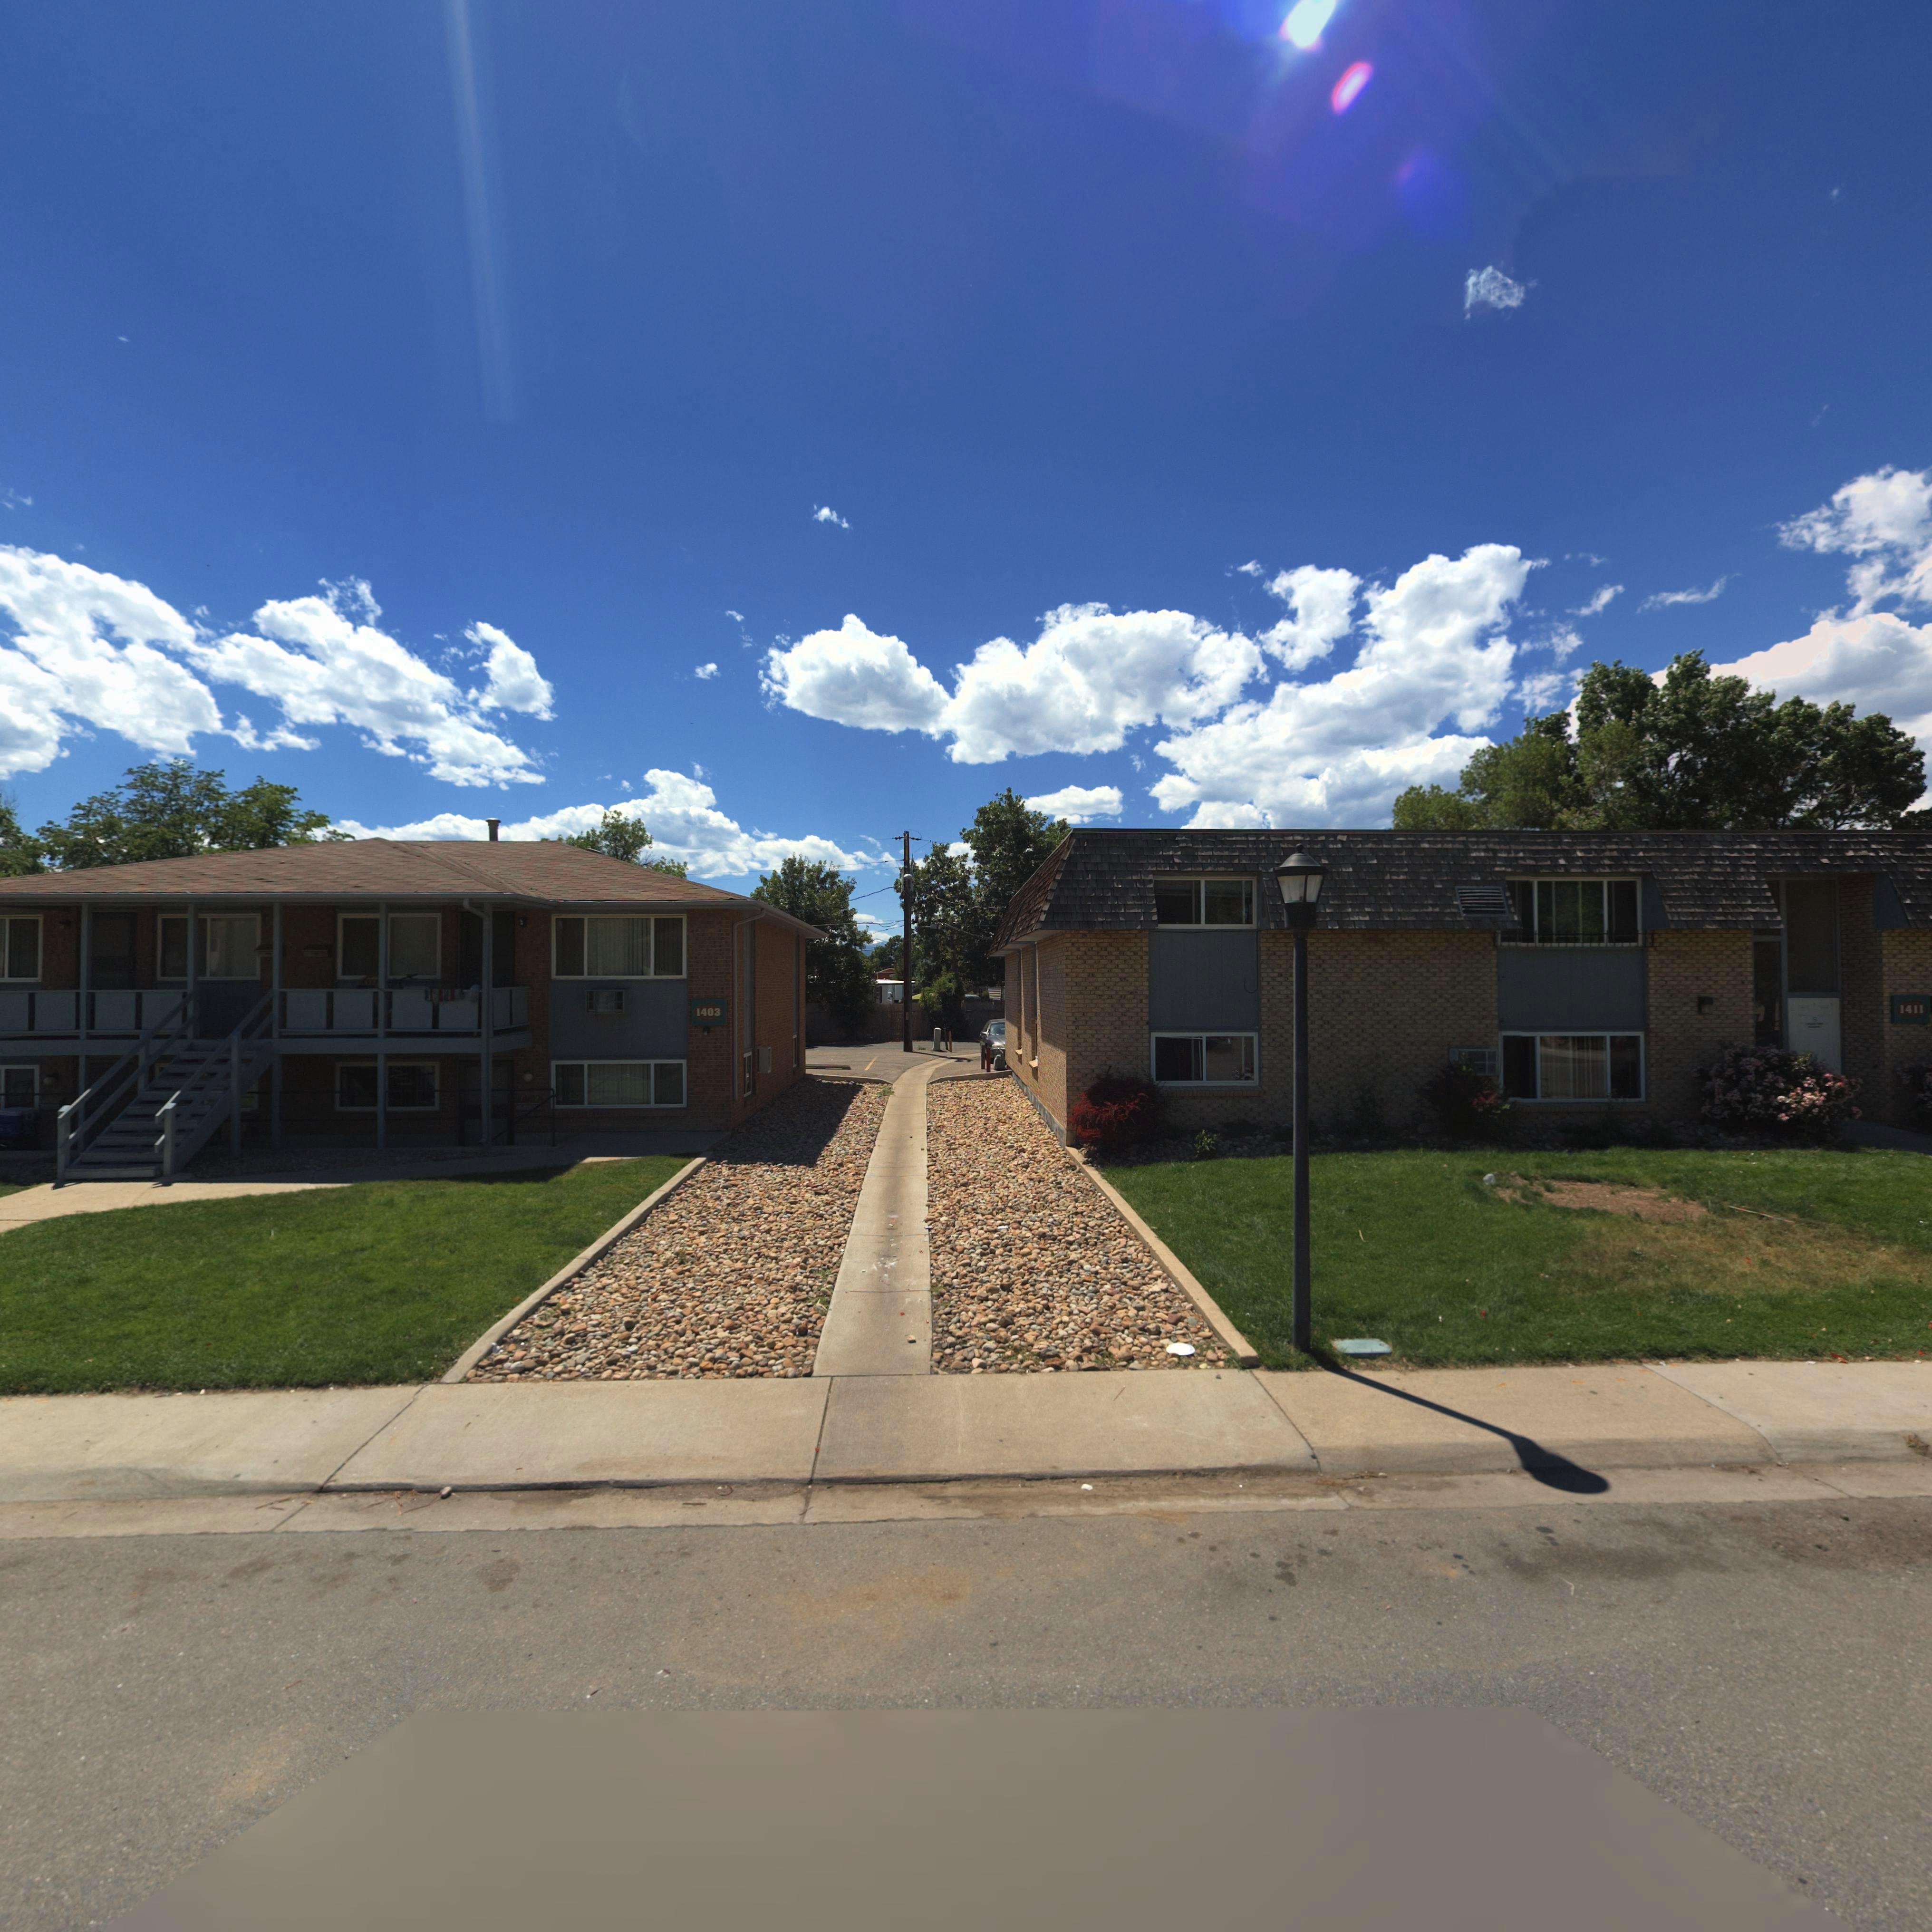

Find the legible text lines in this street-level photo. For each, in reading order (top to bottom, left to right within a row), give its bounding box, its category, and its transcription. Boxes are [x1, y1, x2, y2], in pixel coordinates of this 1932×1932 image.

[696, 1007, 721, 1016] StreetNumber: 1403
[1899, 1004, 1923, 1014] StreetNumber: 1411